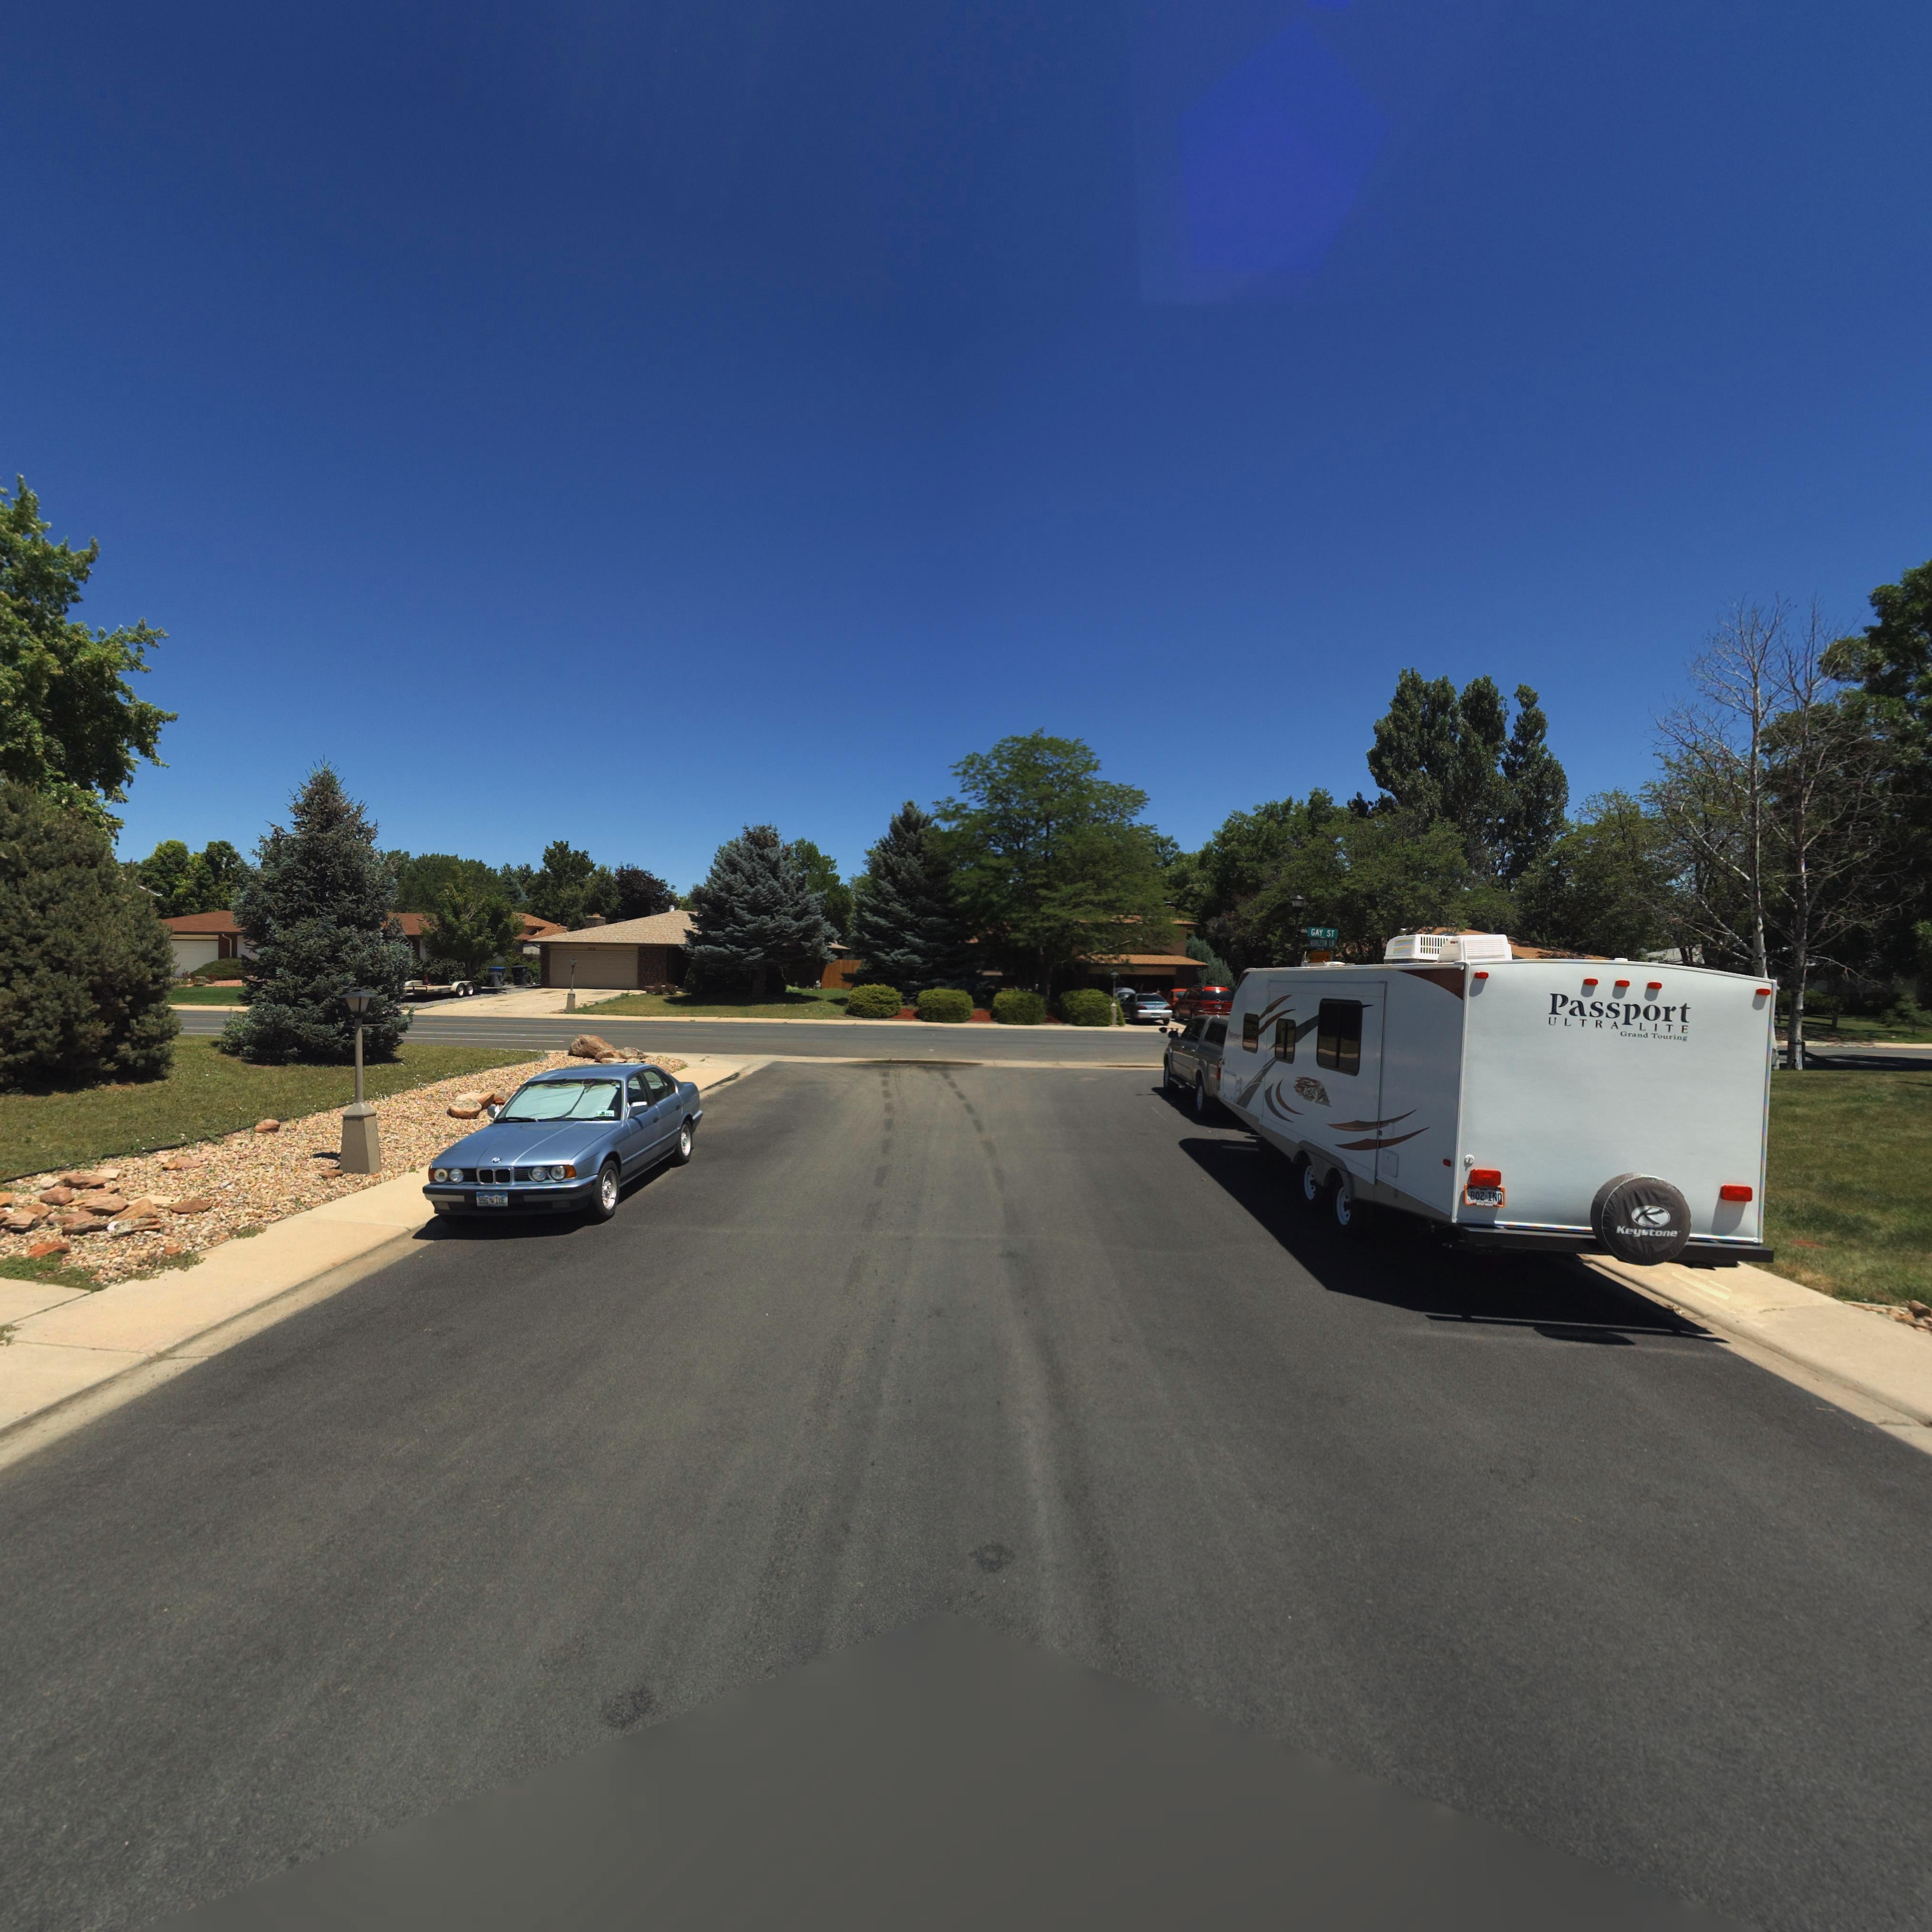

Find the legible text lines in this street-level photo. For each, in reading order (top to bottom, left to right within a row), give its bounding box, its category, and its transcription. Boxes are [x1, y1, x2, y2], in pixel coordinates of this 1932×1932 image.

[1311, 928, 1335, 937] StreetName: GAY ST
[1310, 939, 1335, 947] StreetName: HORIZON LN